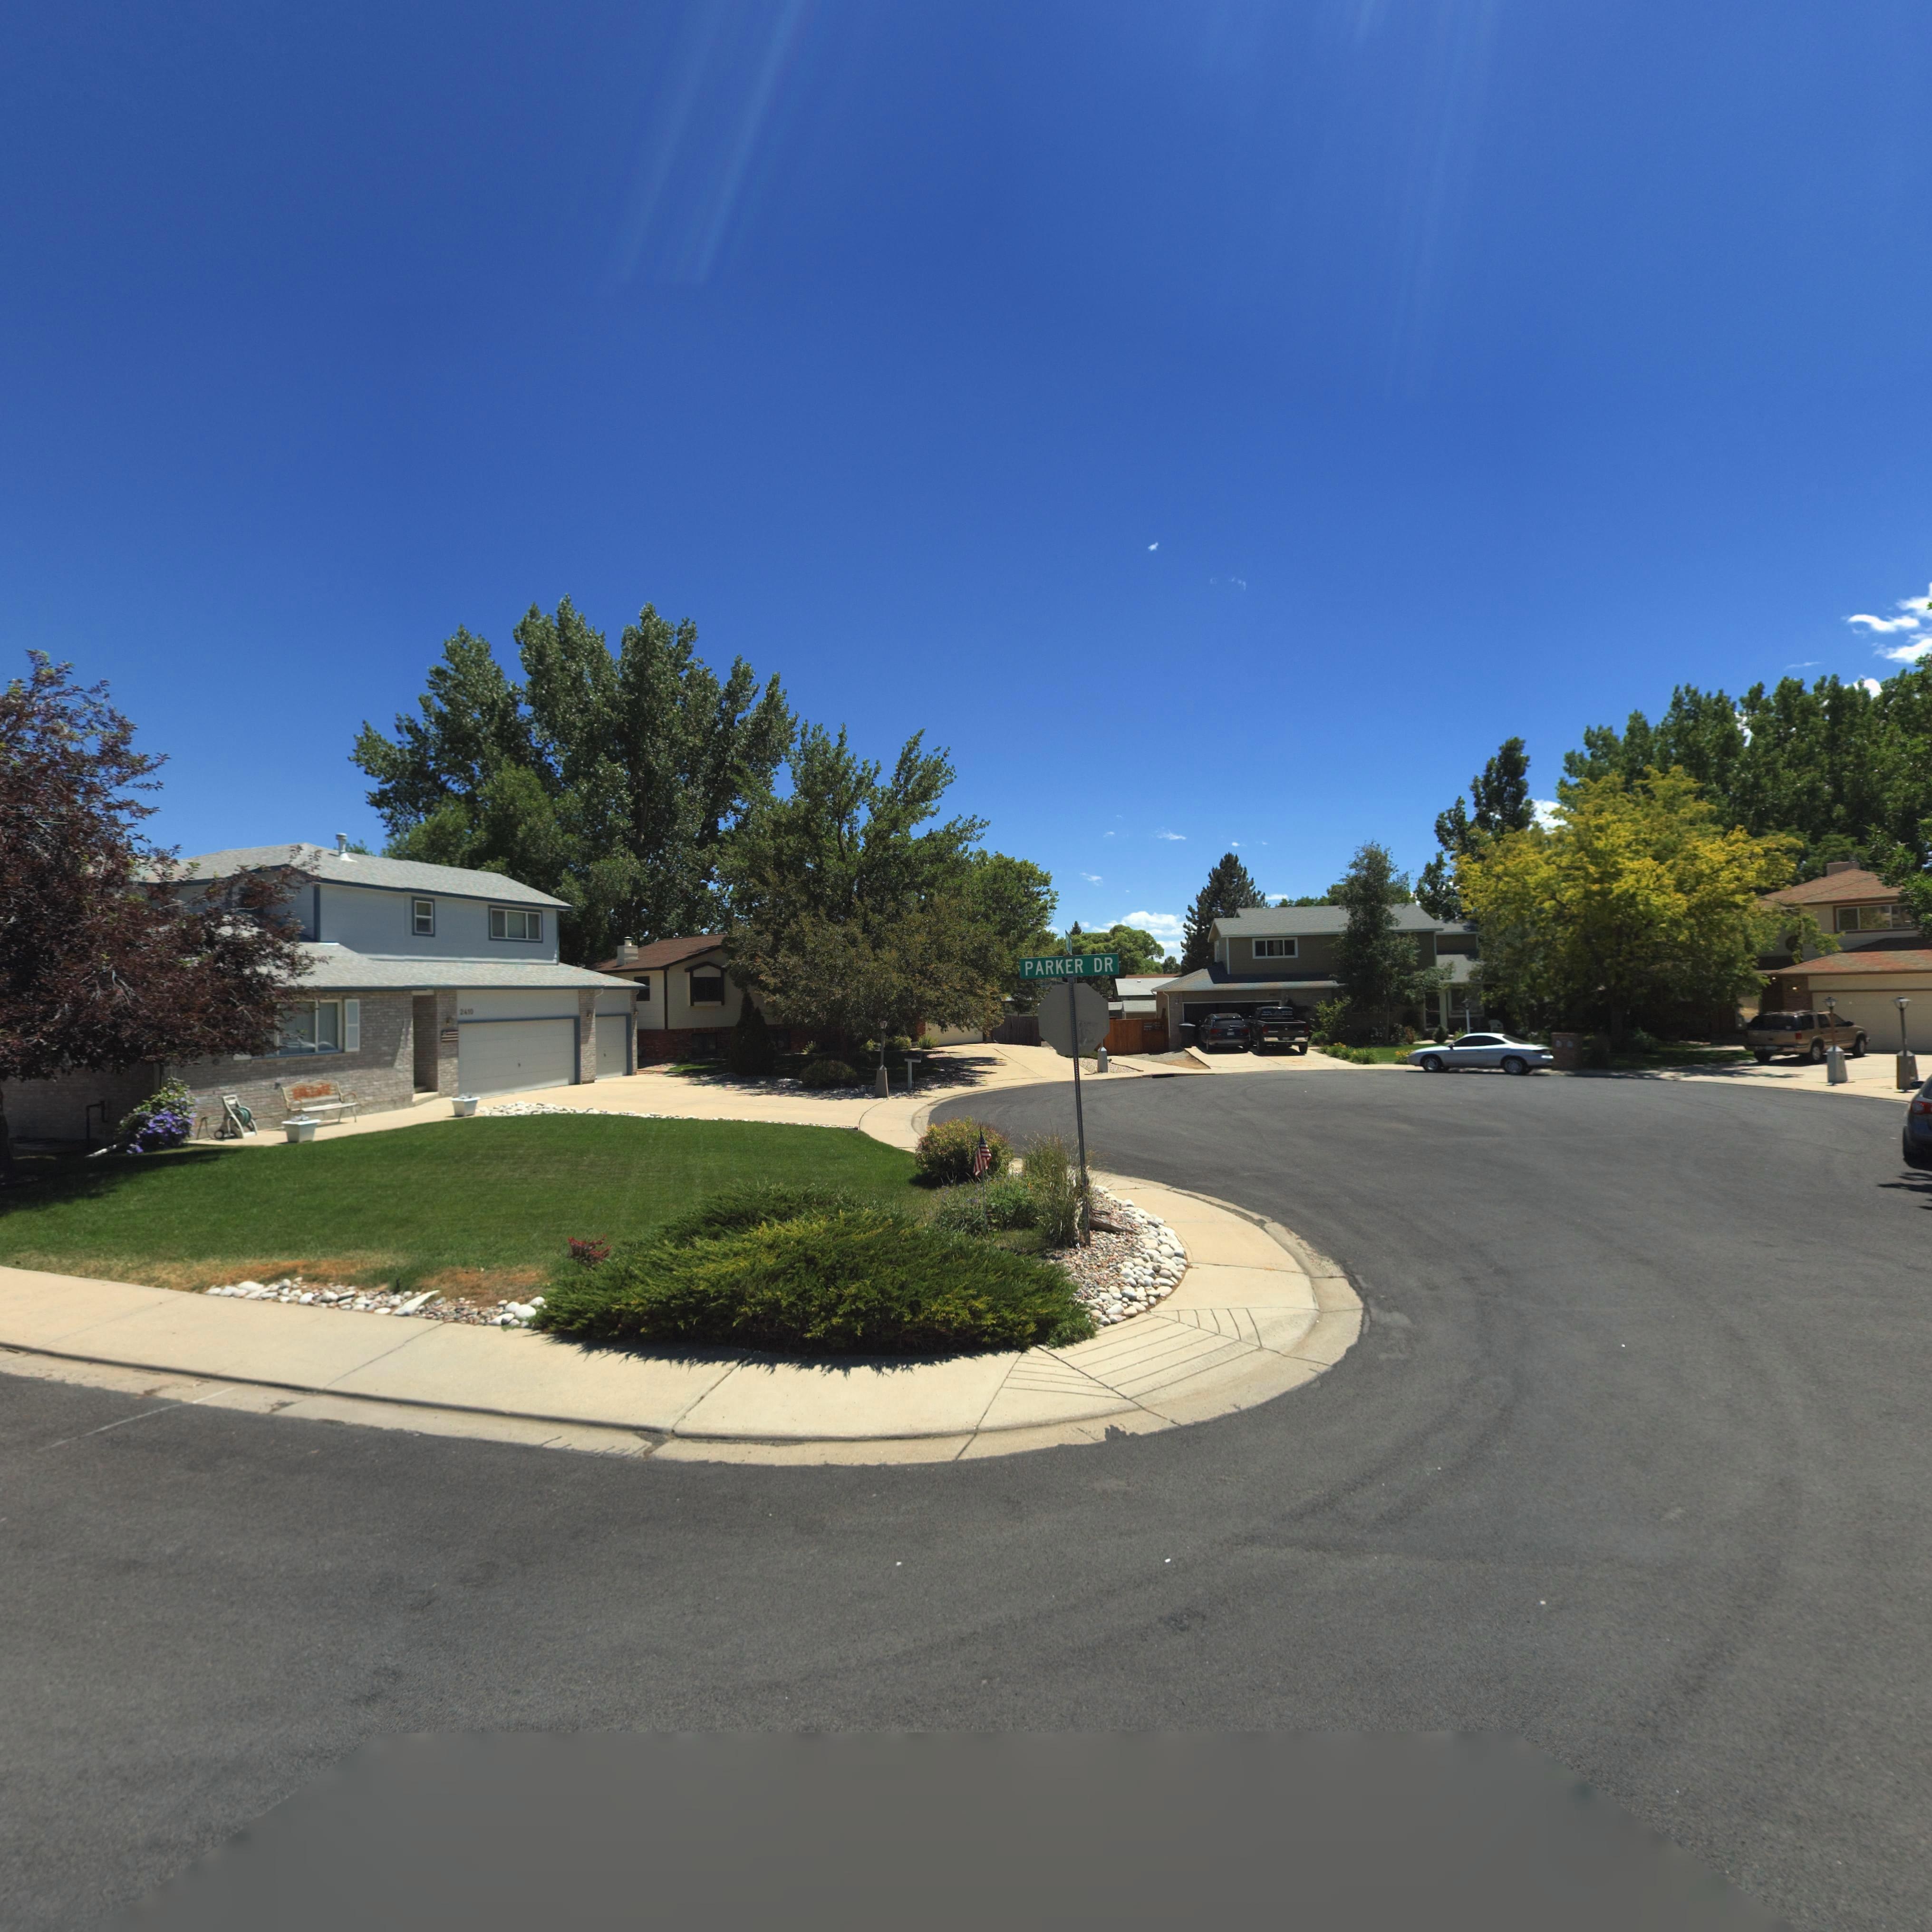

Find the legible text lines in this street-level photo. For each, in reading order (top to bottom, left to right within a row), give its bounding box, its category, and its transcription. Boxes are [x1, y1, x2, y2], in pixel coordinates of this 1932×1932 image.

[1025, 957, 1113, 976] StreetName: PARKER DR
[460, 1008, 473, 1015] StreetNumber: 2410